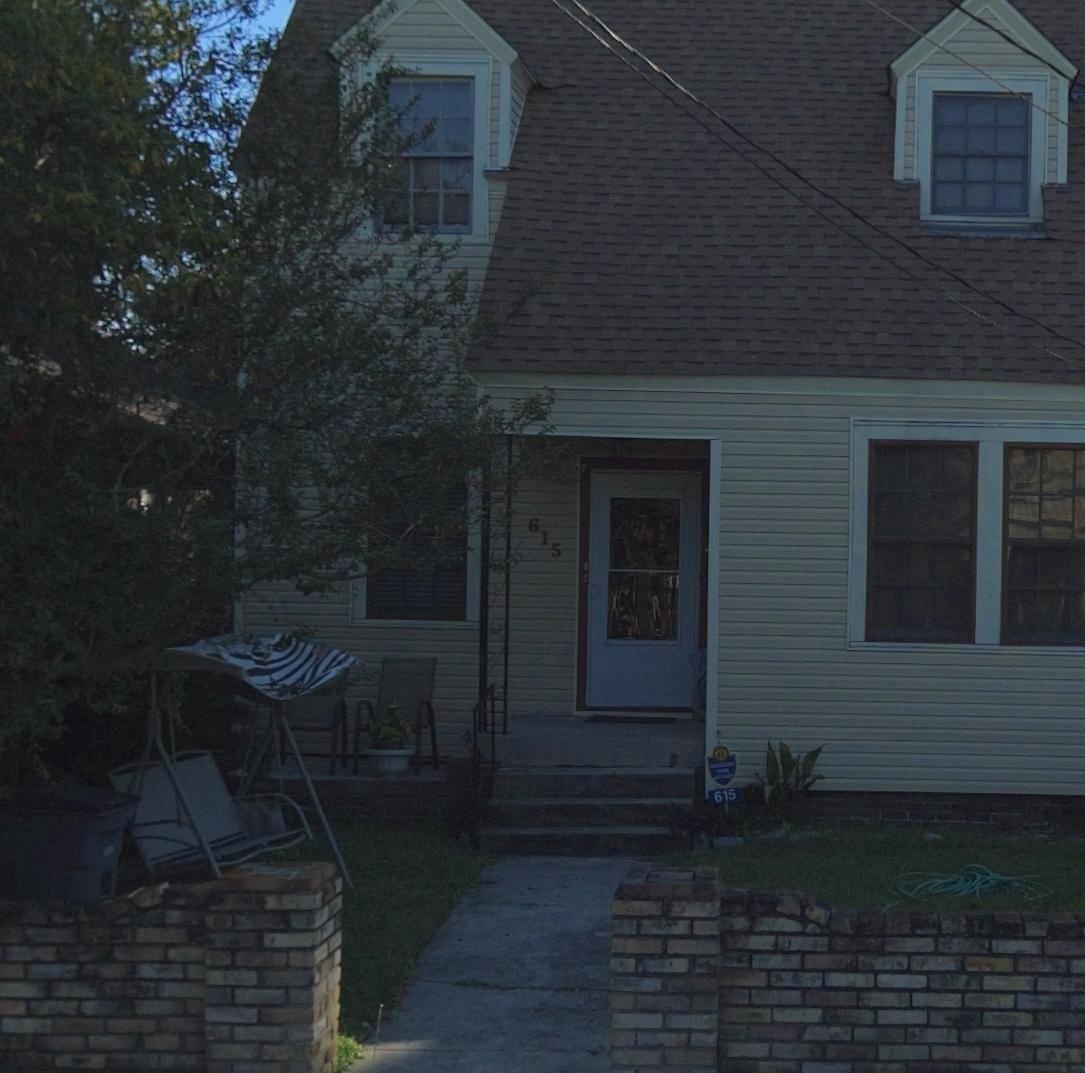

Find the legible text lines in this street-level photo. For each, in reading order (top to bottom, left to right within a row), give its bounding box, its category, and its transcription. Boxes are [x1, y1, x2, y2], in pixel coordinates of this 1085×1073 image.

[526, 515, 564, 566] StreetNumber: 615
[712, 787, 738, 805] StreetNumber: 615